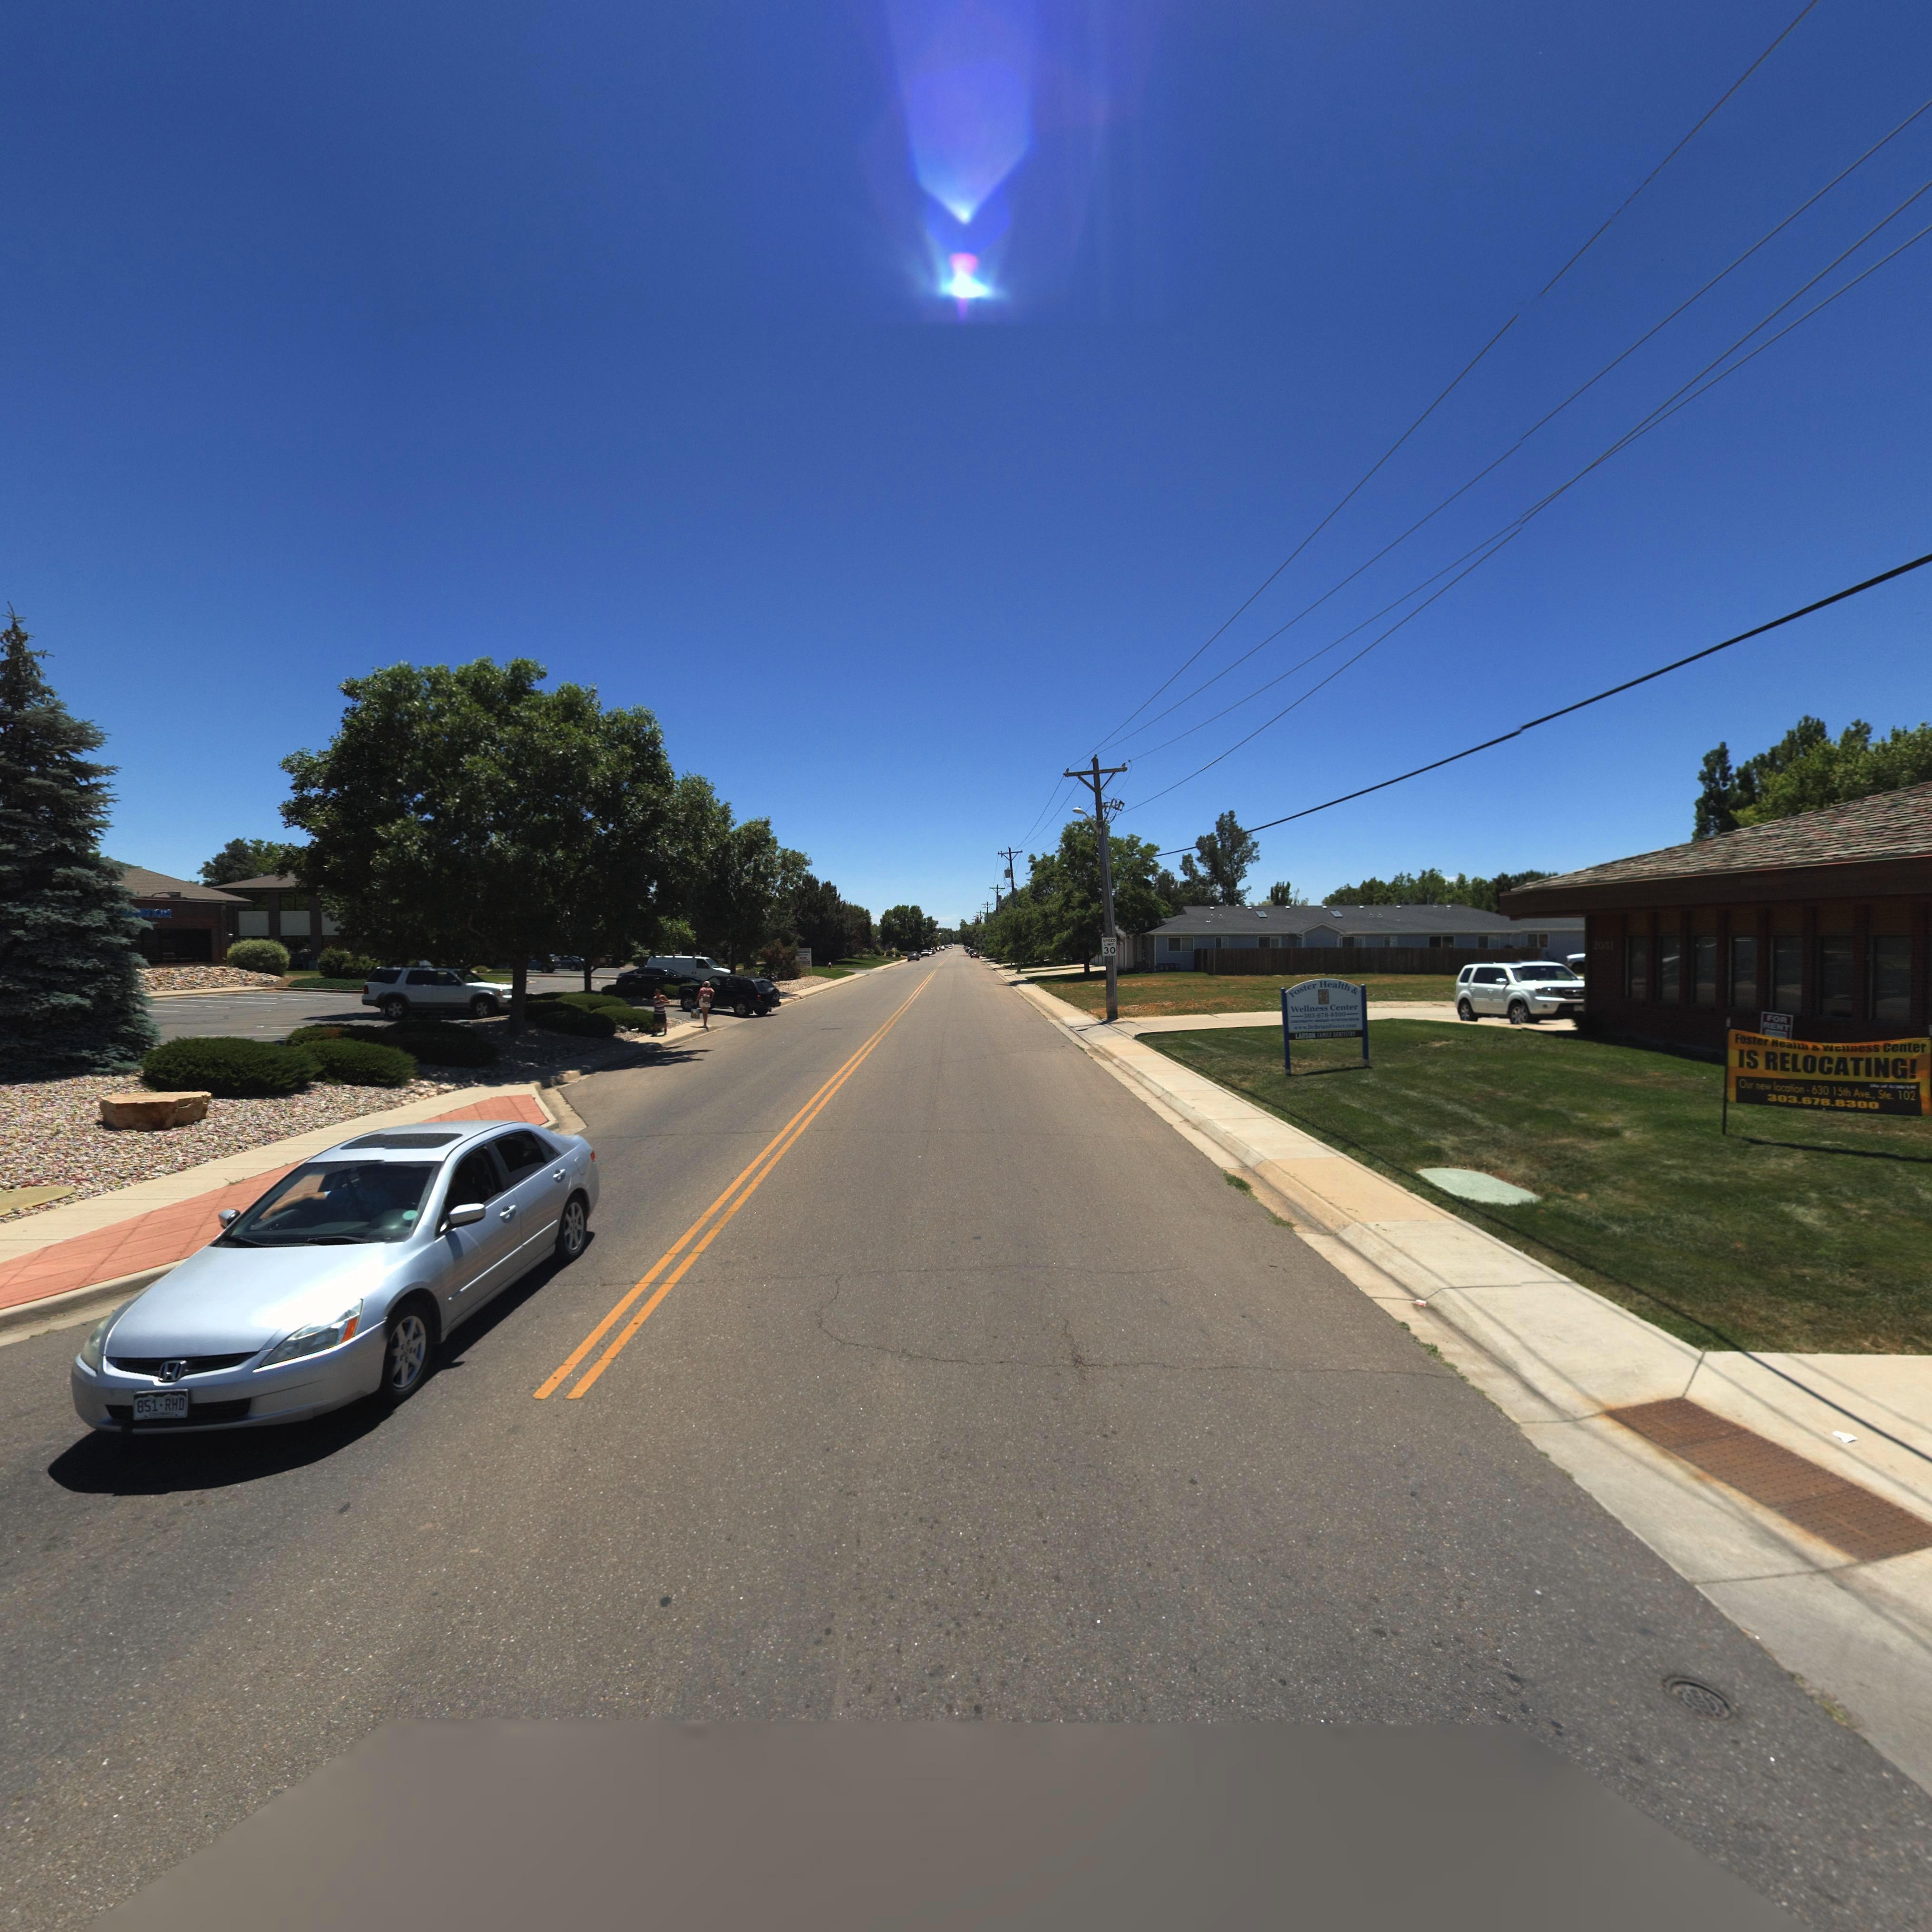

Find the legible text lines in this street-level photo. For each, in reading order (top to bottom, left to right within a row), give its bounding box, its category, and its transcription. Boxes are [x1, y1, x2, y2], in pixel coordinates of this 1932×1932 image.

[1287, 980, 1360, 997] None: FOSTER HEALTH &
[1290, 1004, 1359, 1013] BusinessName: Wellness Center
[1293, 1030, 1357, 1040] BusinessName: LARSON FAMILY DENTISTRY